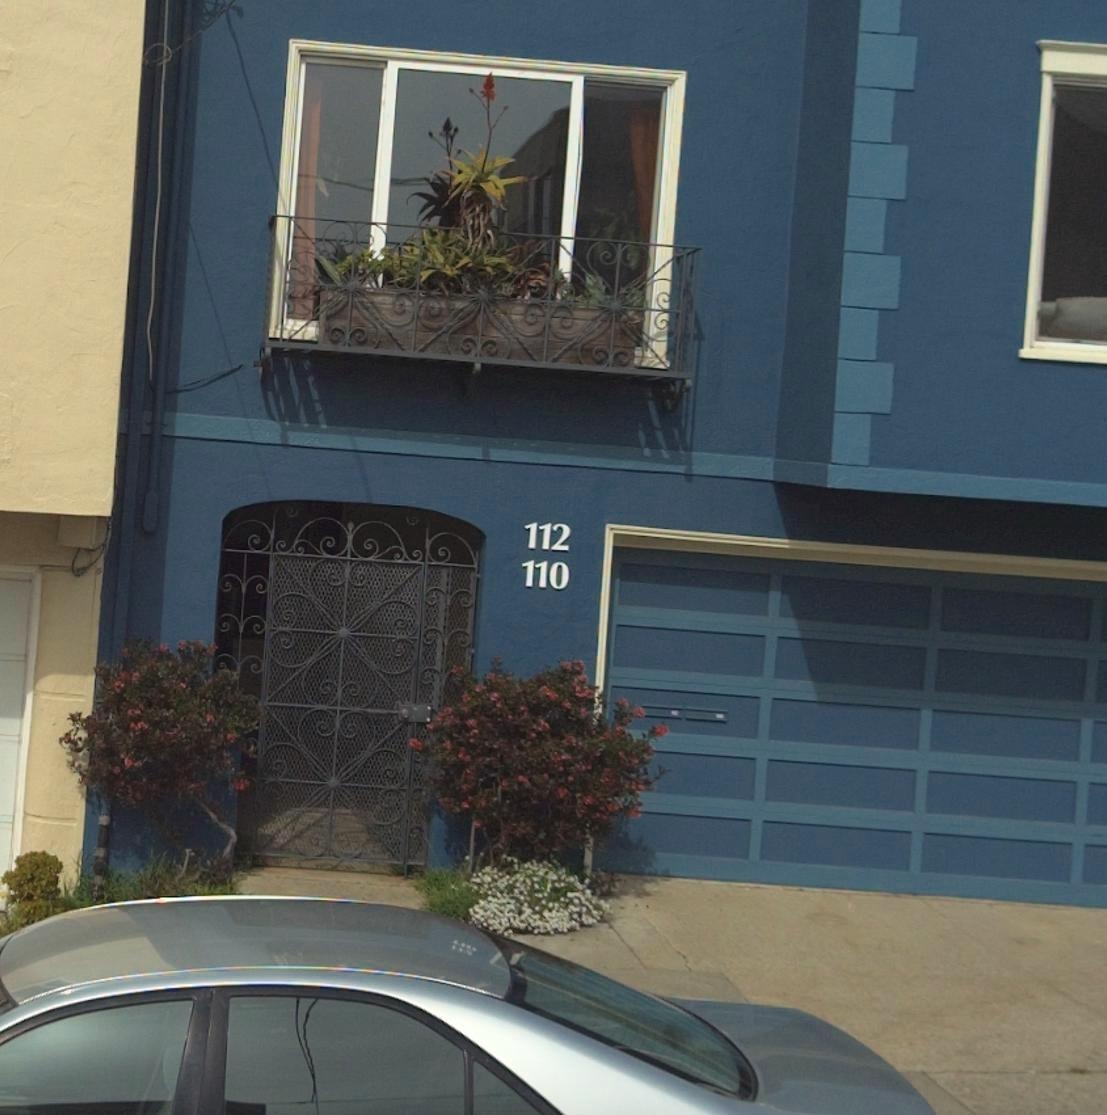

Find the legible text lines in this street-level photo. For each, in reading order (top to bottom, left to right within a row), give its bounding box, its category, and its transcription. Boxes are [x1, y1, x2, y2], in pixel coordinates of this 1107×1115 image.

[522, 520, 573, 552] StreetNumber: 112
[521, 558, 572, 591] StreetNumber: 110